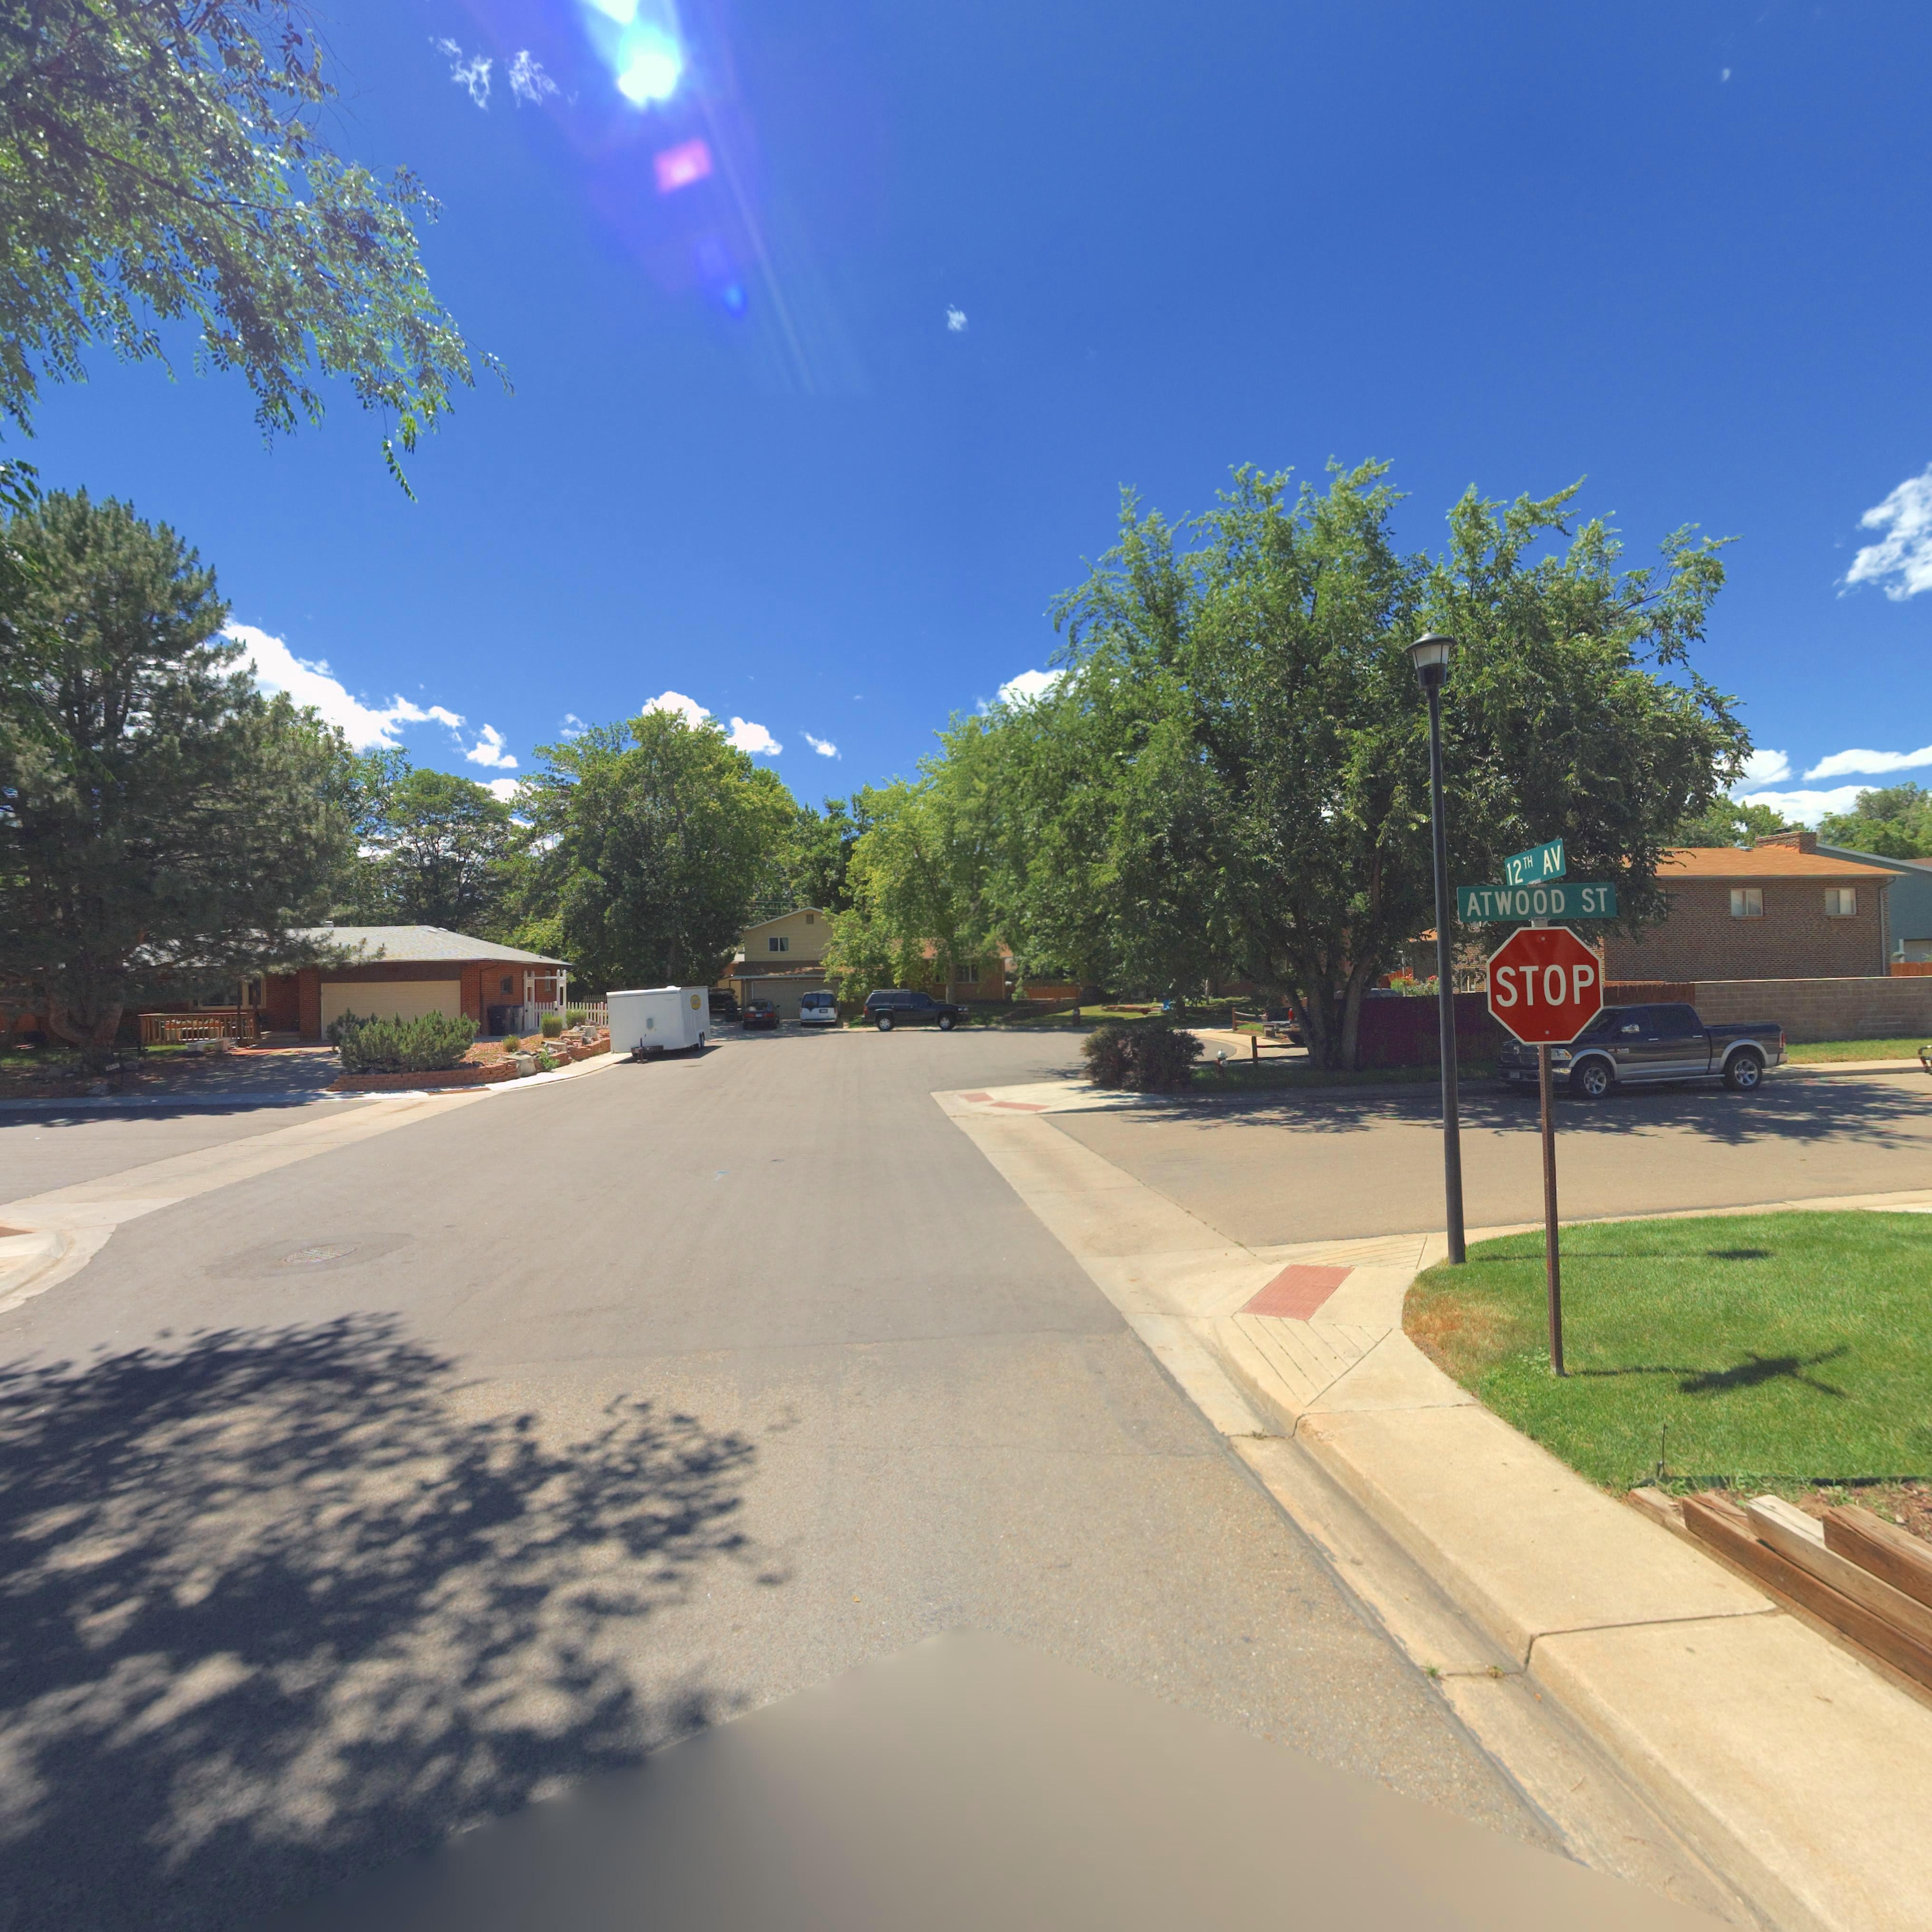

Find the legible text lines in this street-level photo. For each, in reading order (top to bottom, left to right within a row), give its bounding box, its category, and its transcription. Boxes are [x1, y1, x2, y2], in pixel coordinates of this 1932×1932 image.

[1506, 844, 1561, 886] StreetName: 12TH AV
[1466, 888, 1608, 916] BusinessName: ATWOOD ST
[1495, 964, 1594, 1007] BusinessName: STOP
[105, 1062, 120, 1071] StreetNumber: 1153